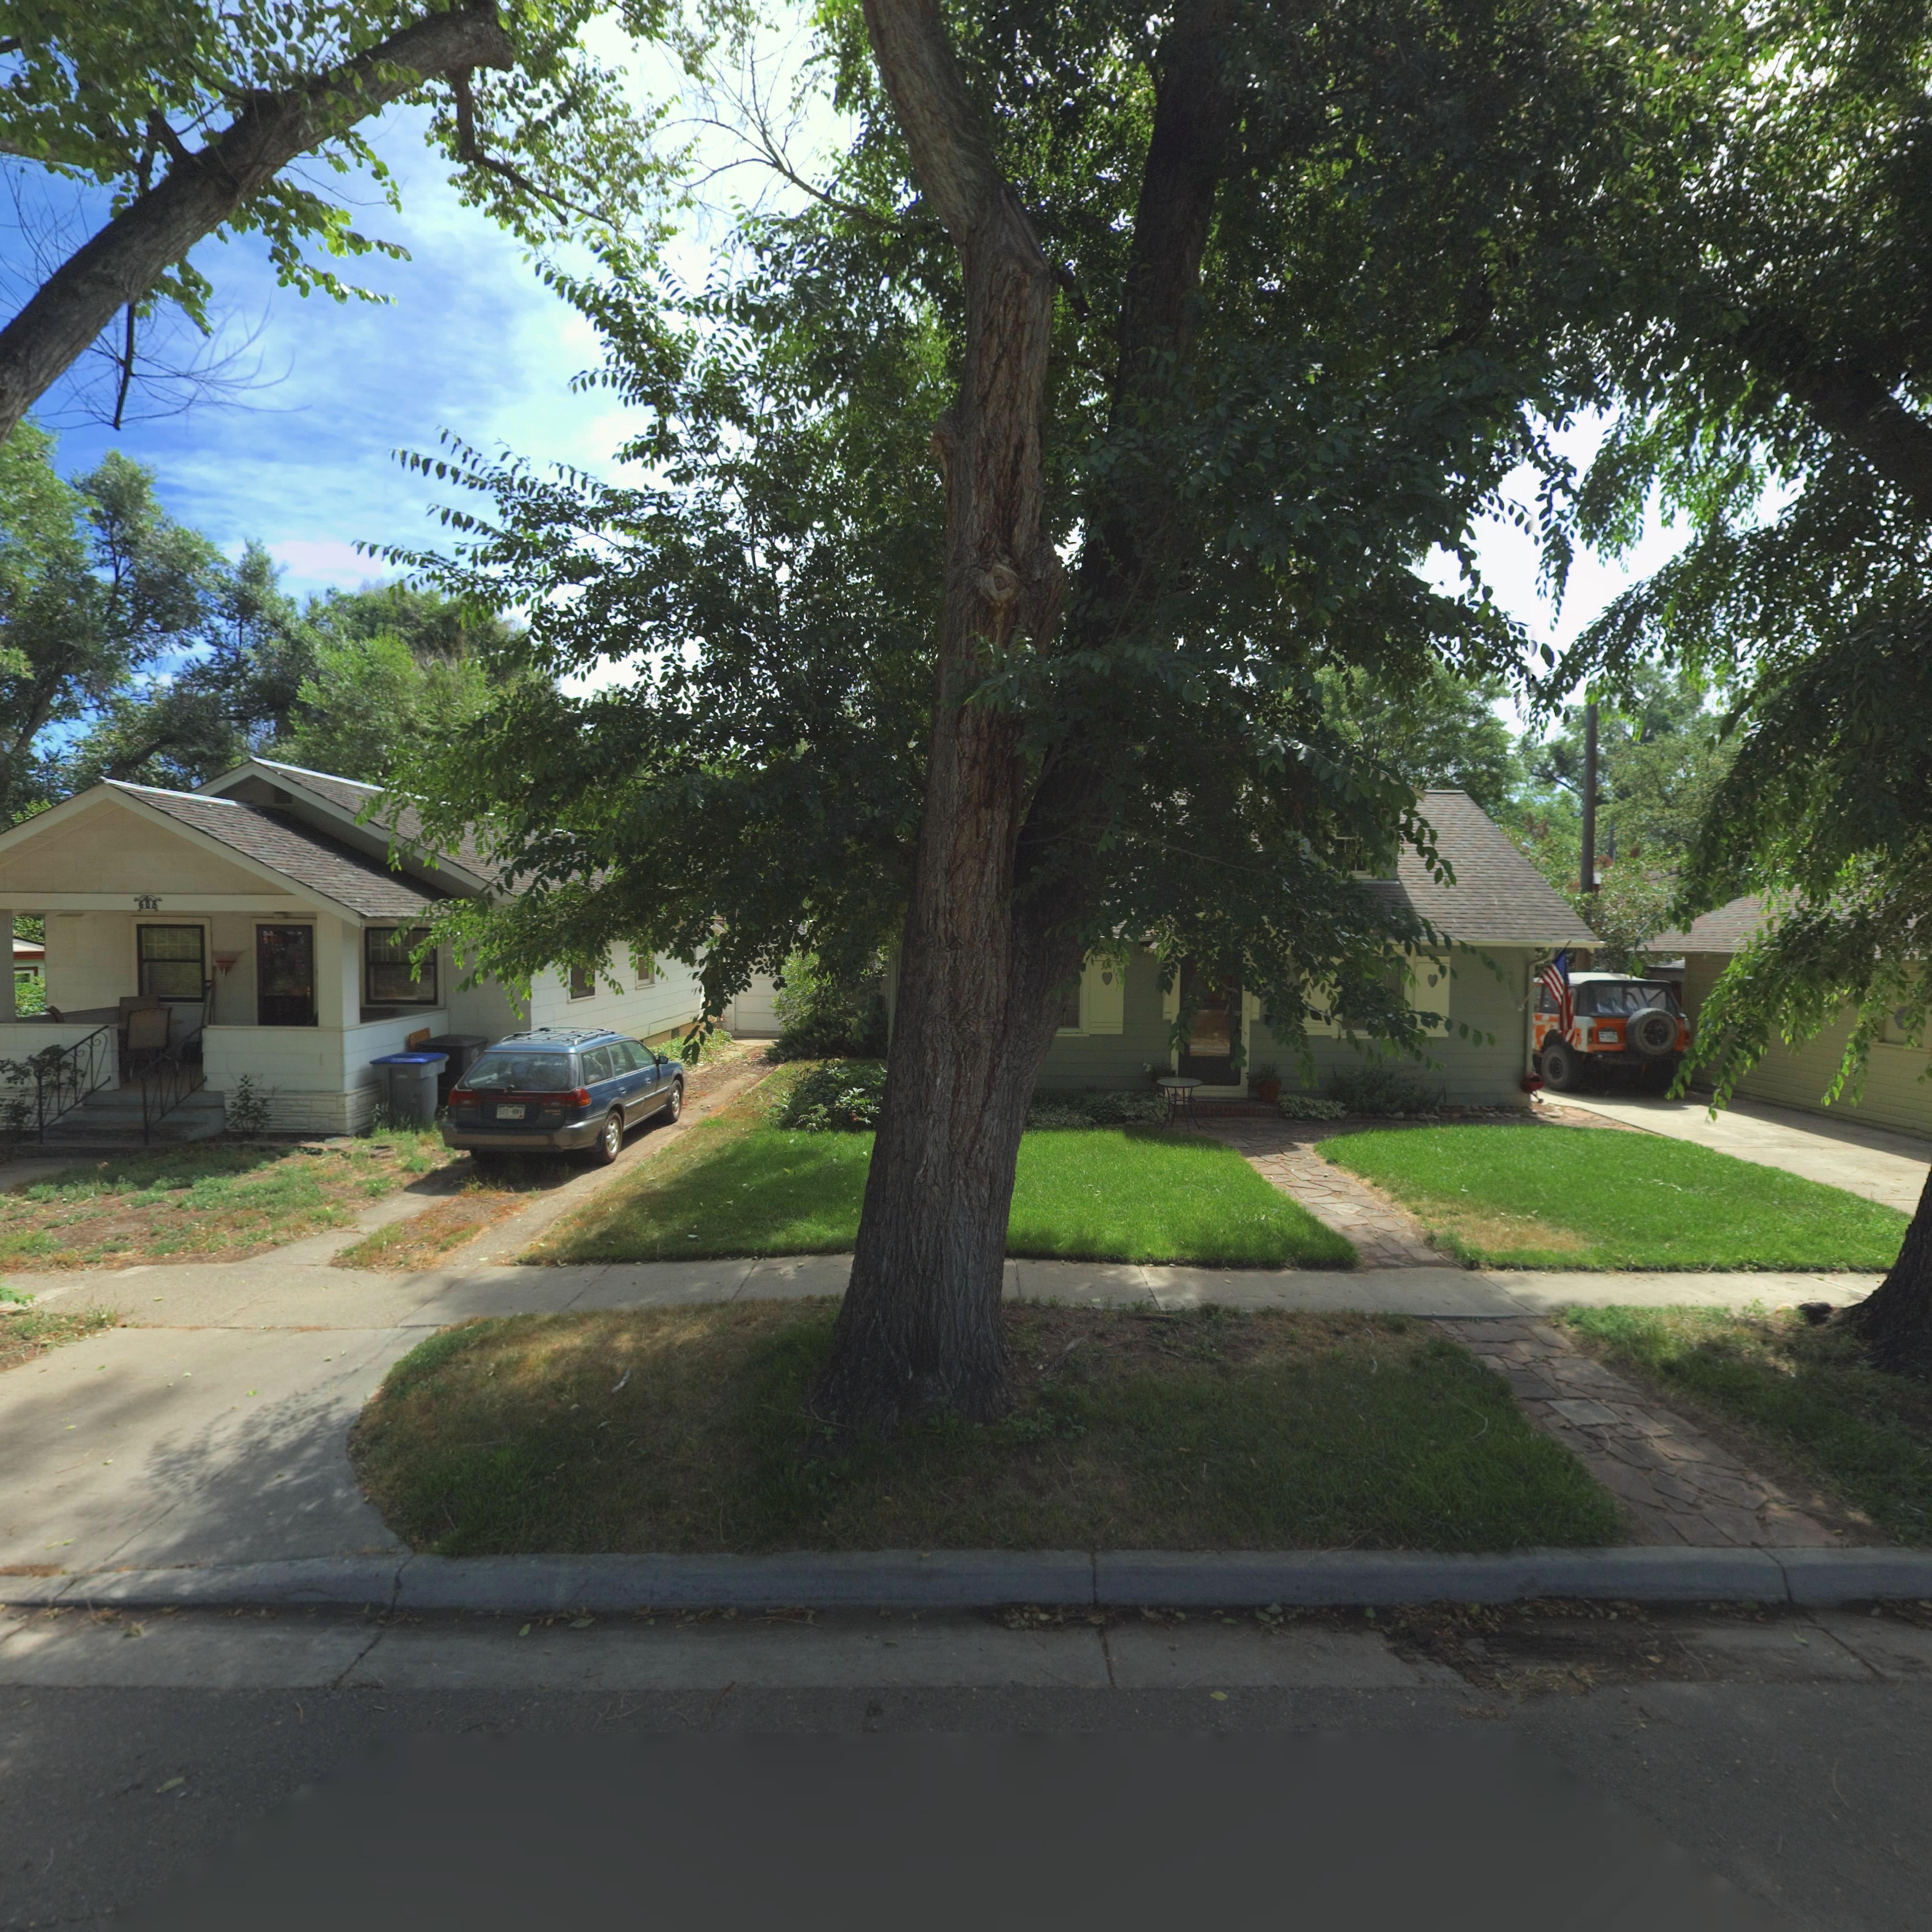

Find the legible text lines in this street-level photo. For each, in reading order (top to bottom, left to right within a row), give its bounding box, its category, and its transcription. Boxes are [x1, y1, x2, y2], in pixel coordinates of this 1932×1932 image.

[138, 899, 158, 908] StreetNumber: 608